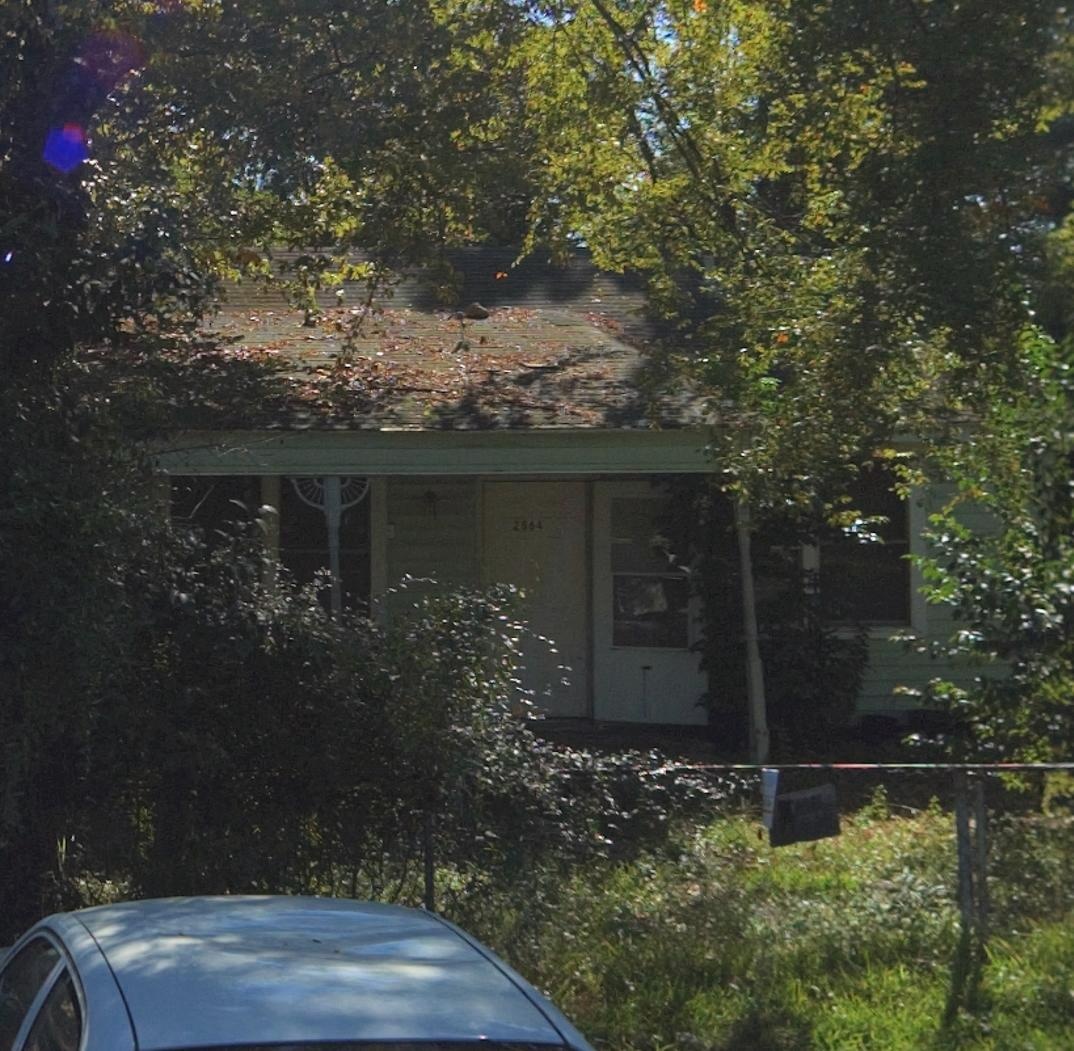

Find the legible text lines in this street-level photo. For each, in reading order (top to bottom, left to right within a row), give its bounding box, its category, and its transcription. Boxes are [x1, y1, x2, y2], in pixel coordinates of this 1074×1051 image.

[512, 519, 543, 532] StreetNumber: 2864